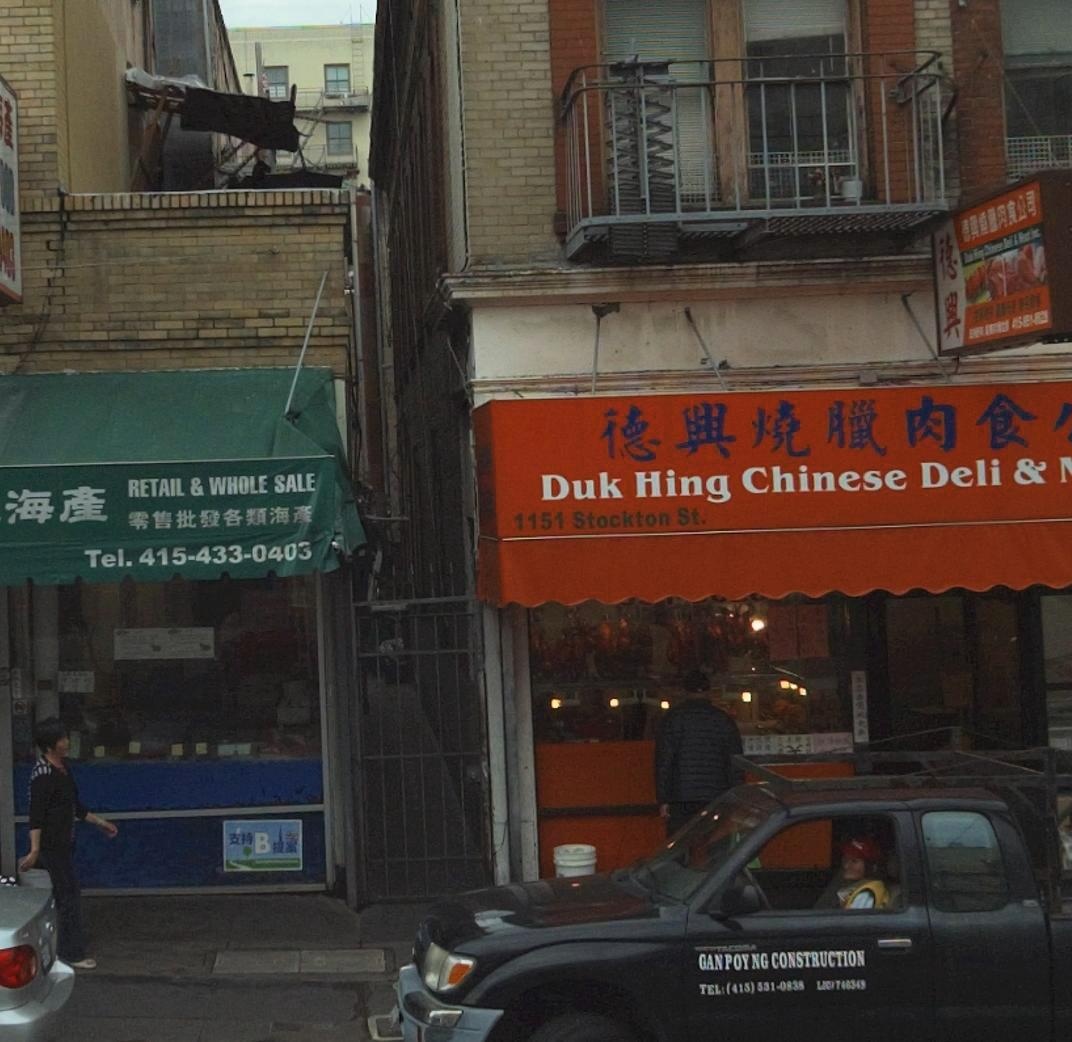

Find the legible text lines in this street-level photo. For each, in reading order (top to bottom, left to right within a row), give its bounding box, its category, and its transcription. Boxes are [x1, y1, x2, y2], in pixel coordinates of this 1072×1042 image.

[123, 466, 322, 503] None: RETAIL & WHOLE SALE
[536, 452, 1056, 508] BusinessName: Duk Hink Chinese Deli &
[511, 509, 568, 535] StreetNumber: 1151
[570, 504, 710, 534] StreetName: Stockton St.
[81, 535, 318, 575] None: Tel. 415-433-0403
[250, 830, 276, 857] None: B
[695, 947, 868, 974] None: GANPOYNG CONSTRUCTION
[696, 977, 807, 998] None: TEL: (415) 531-0838
[813, 977, 869, 993] None: L***40319